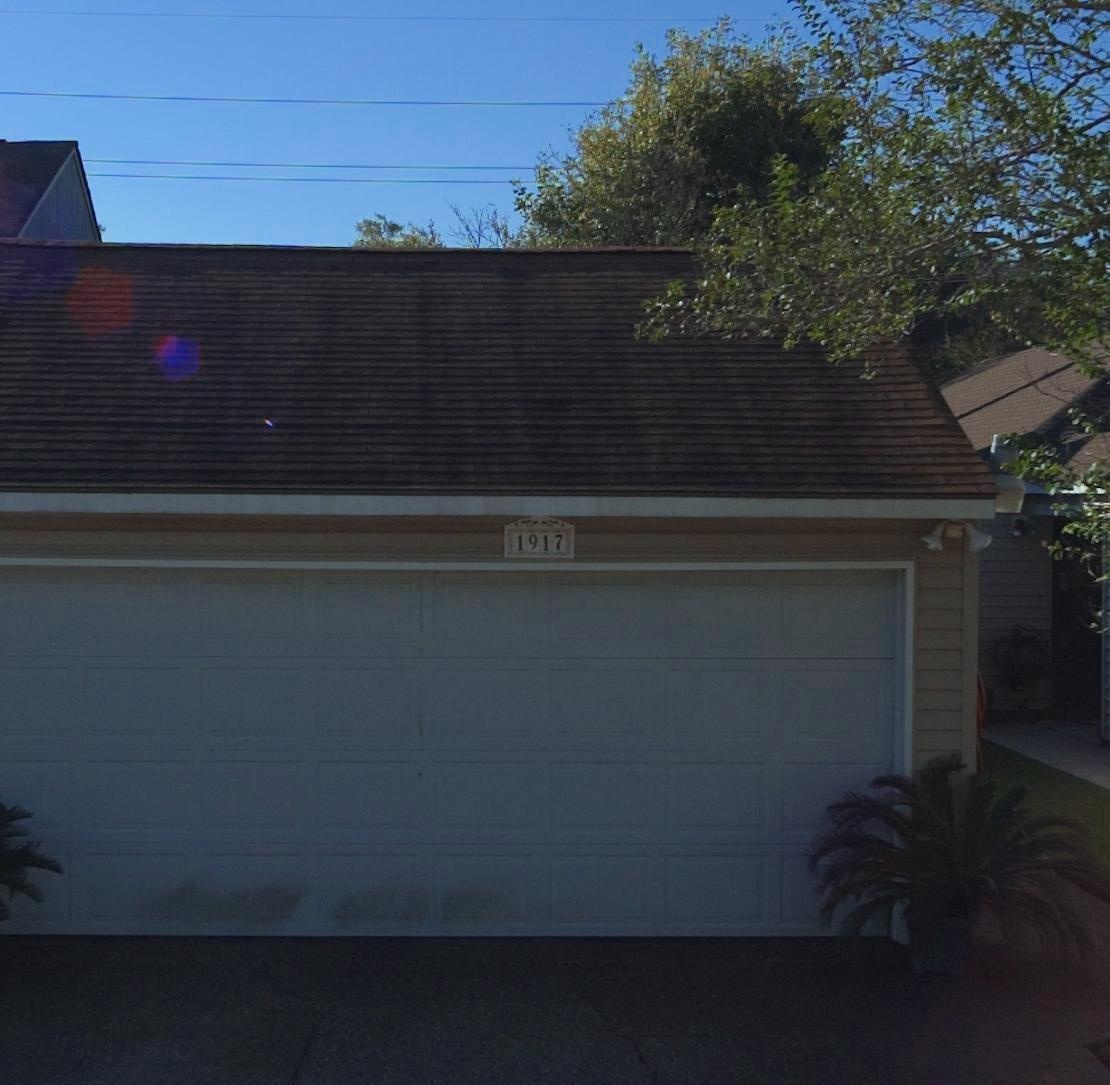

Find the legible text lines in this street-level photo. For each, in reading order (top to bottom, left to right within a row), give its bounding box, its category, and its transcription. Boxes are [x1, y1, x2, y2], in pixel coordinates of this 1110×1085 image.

[515, 531, 564, 553] StreetNumber: 1917